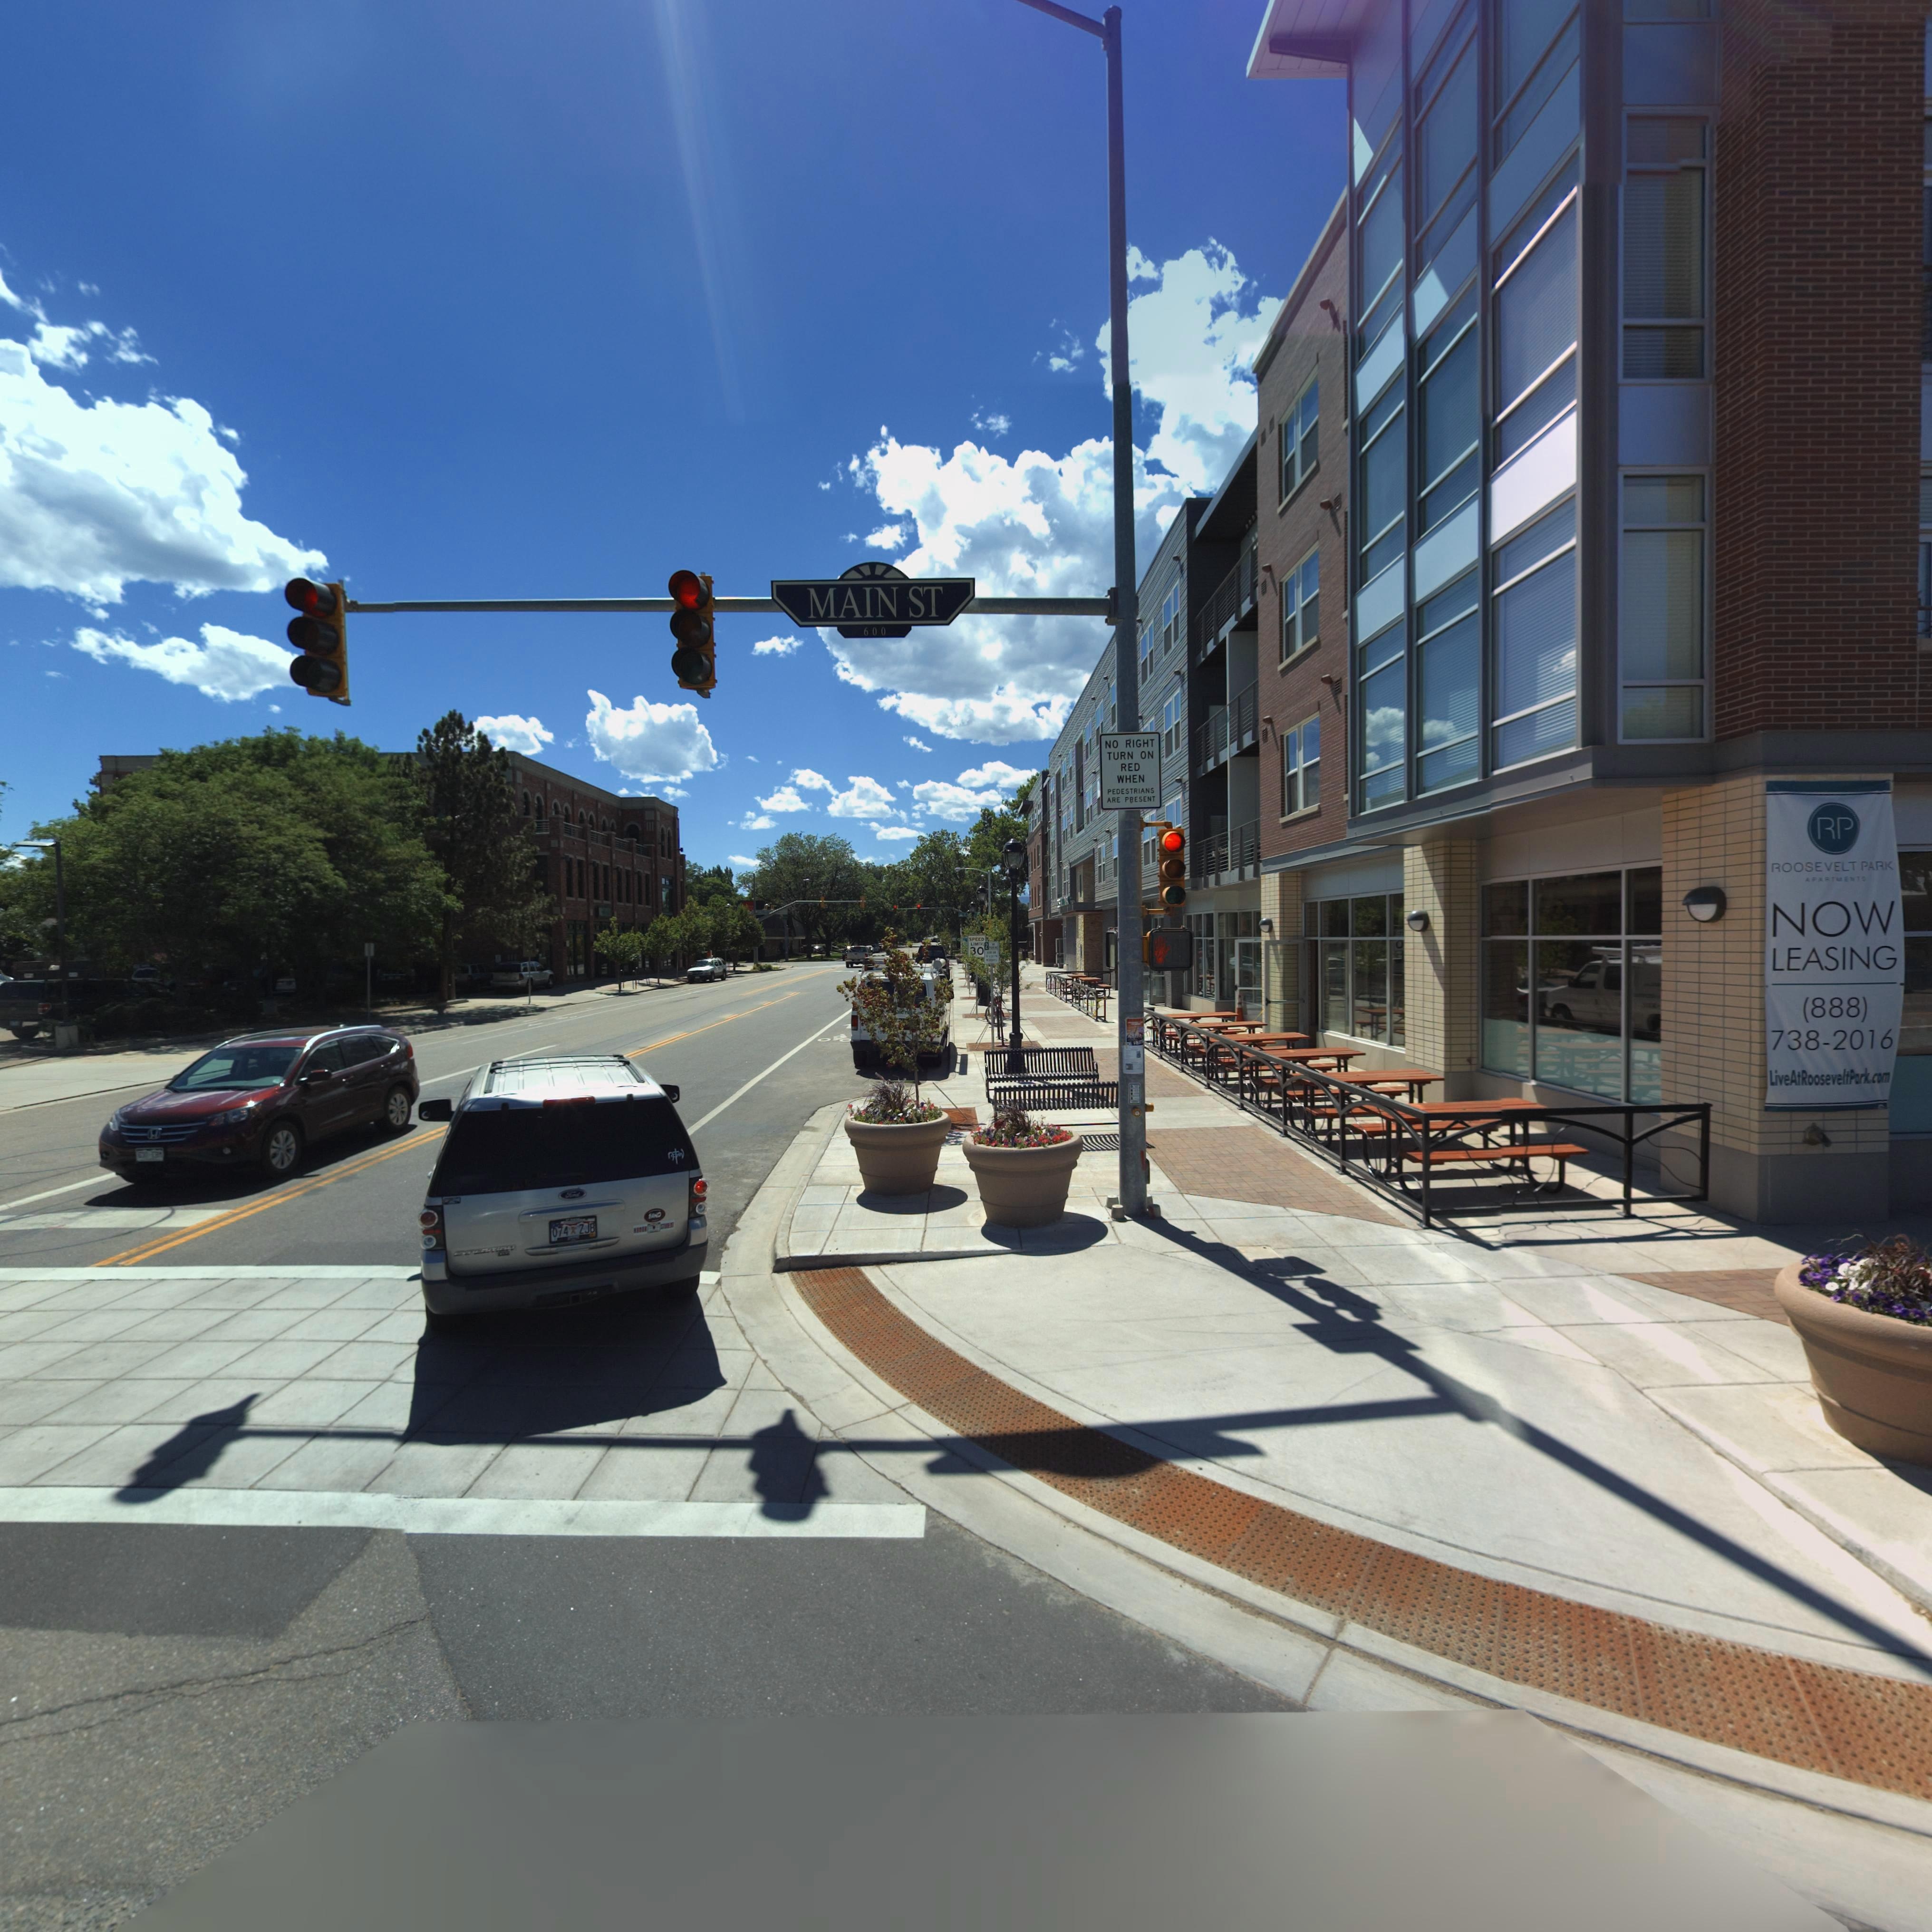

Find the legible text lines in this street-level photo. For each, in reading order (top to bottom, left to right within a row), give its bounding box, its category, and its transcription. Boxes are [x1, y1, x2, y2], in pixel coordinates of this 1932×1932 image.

[807, 586, 944, 618] StreetName: MAIN ST
[863, 627, 886, 636] StreetNumberRange: 600
[1816, 817, 1855, 840] BusinessName: RP
[1770, 860, 1894, 873] BusinessName: ROOSEVELT PARK
[1805, 875, 1866, 883] BusinessName: APARTMENTS